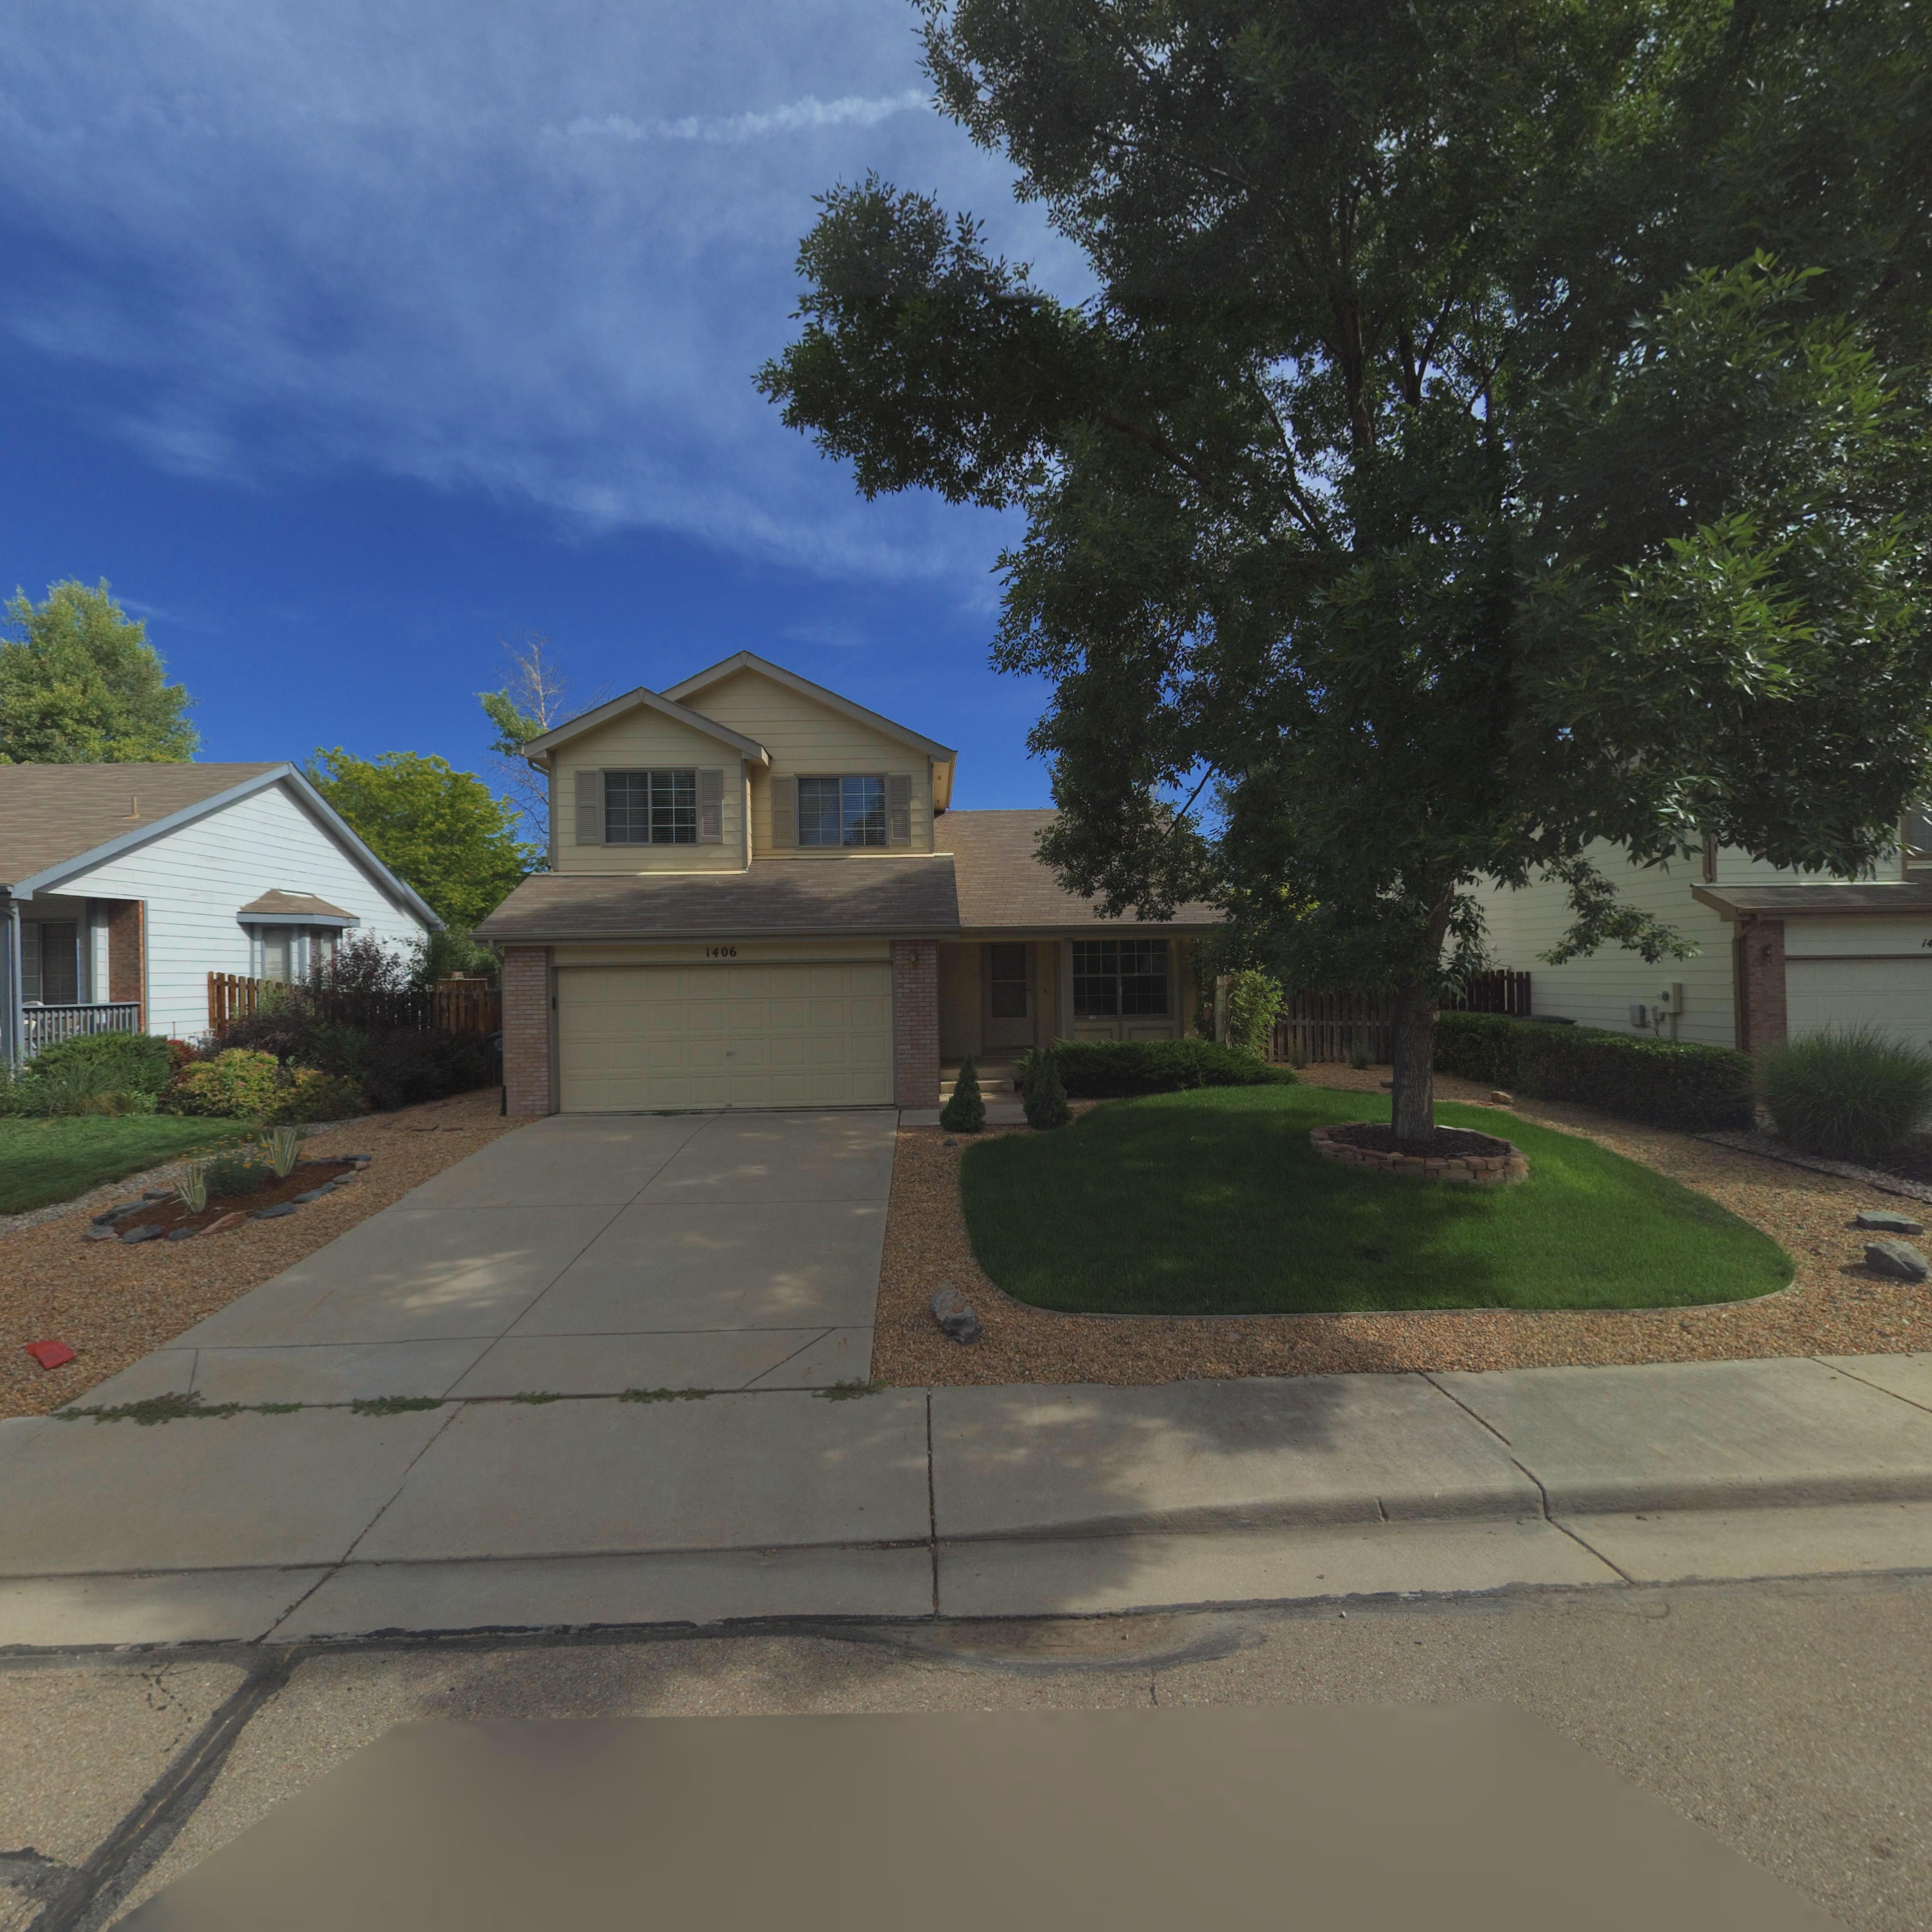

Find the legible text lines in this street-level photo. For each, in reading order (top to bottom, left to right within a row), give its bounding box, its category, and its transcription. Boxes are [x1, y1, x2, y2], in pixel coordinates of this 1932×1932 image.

[1921, 938, 1932, 948] StreetNumber: 14
[706, 946, 737, 957] StreetNumber: 1406